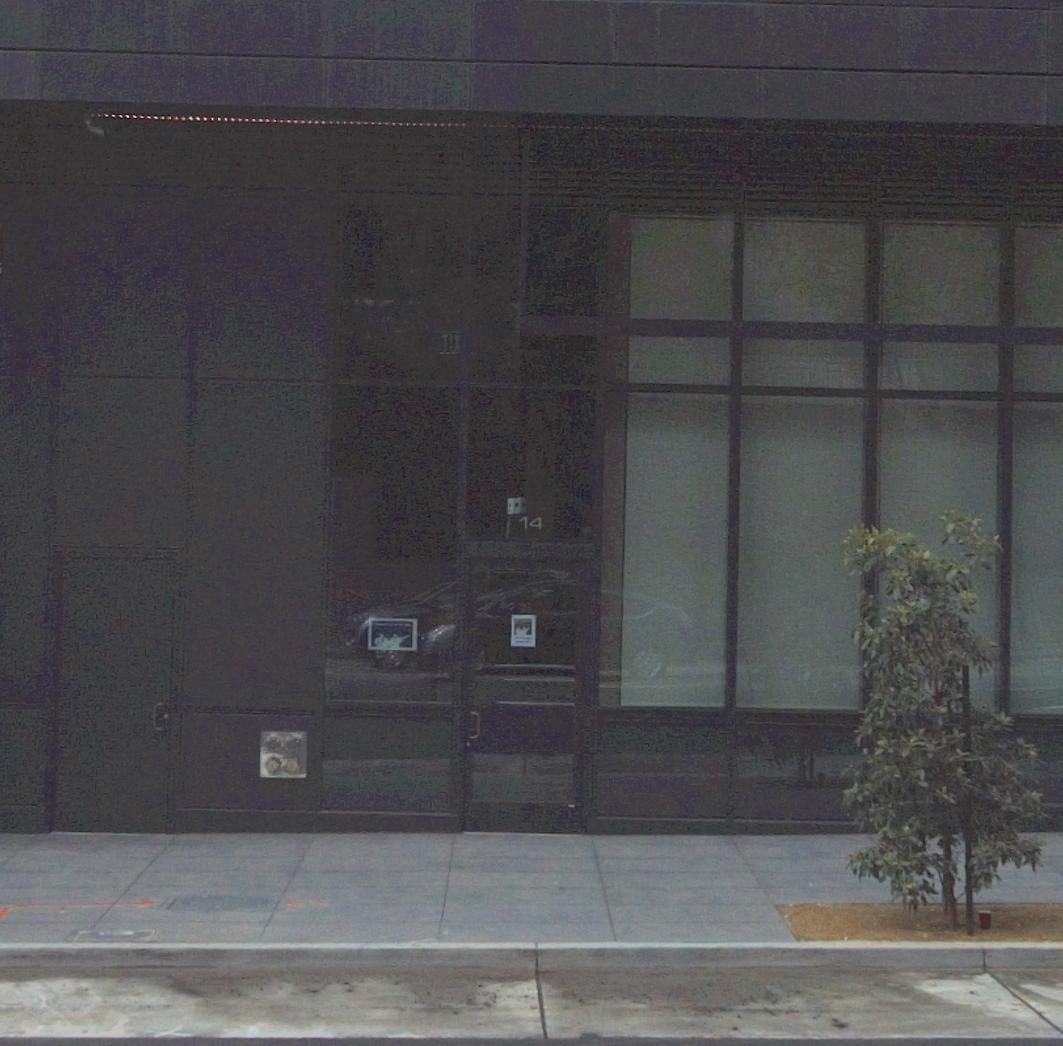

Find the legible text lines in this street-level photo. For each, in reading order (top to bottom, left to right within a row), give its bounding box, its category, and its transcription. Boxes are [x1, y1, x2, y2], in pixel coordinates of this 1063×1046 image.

[517, 514, 546, 532] StreetNumber: 14